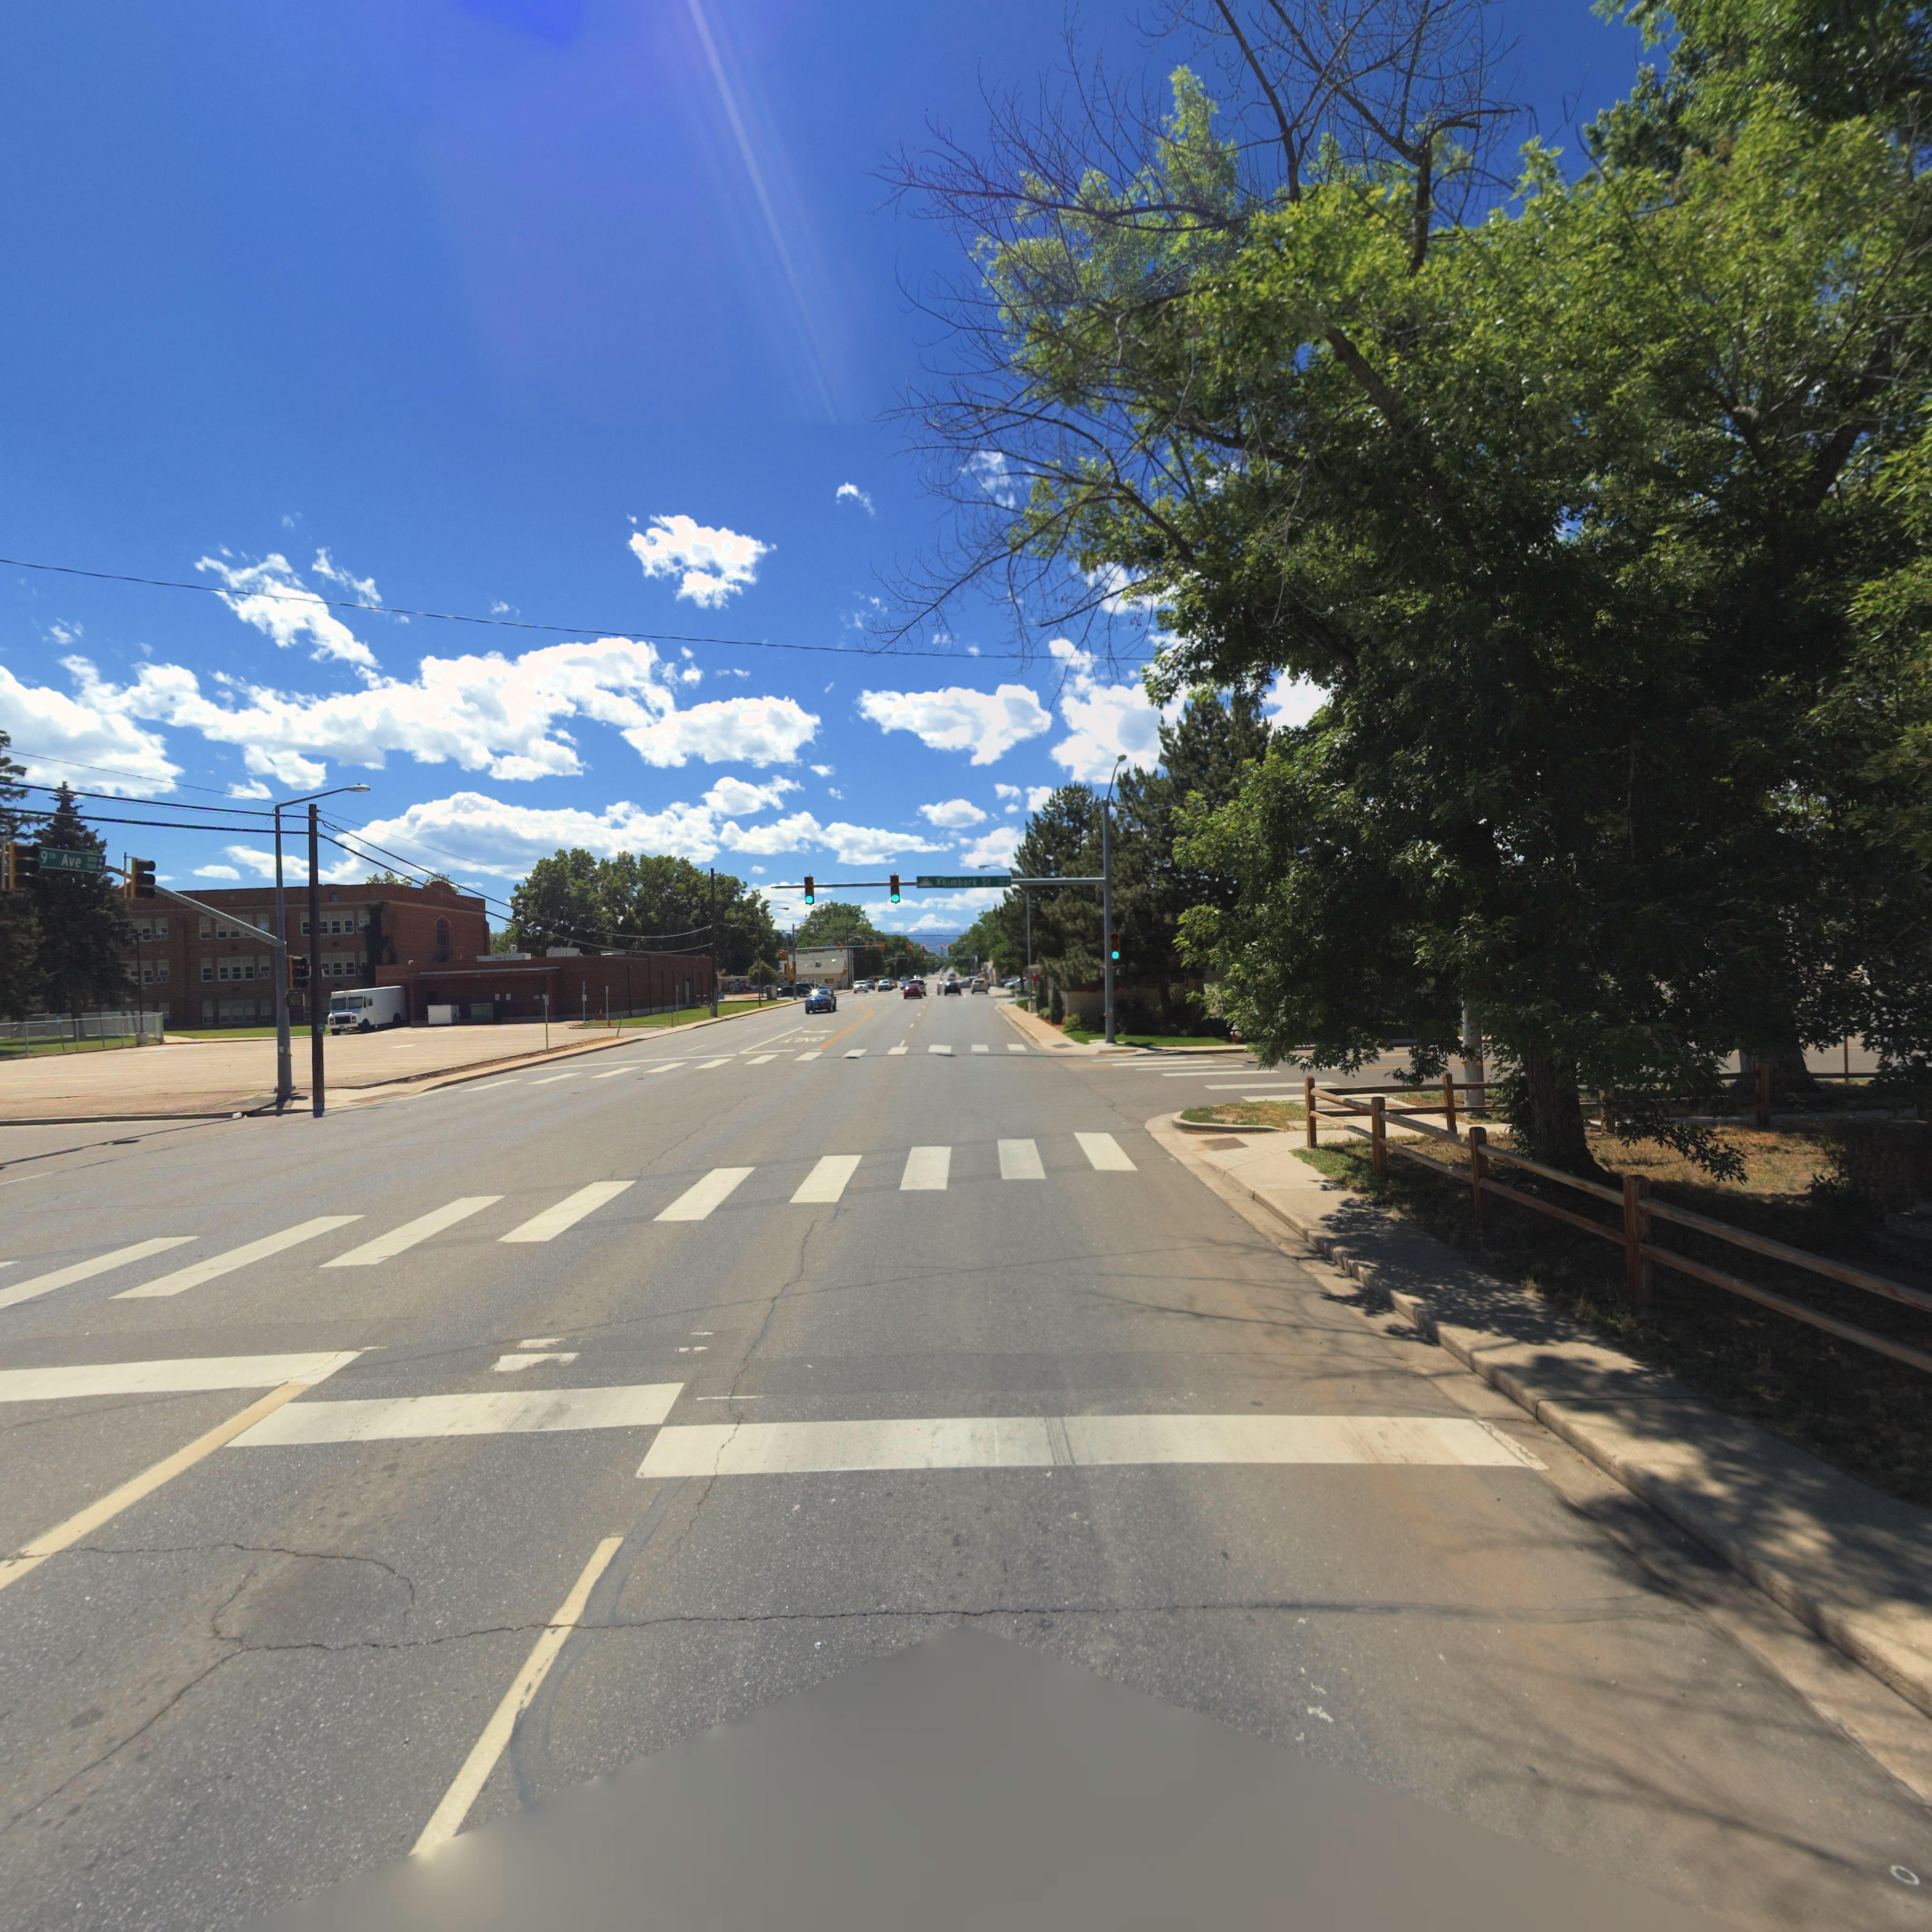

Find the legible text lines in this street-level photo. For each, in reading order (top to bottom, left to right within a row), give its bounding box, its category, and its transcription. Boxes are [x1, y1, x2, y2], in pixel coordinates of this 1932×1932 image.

[39, 850, 81, 869] StreetName: 9th Ave
[86, 862, 104, 870] StreetNumberRange: 500->
[936, 877, 991, 887] StreetName: KKimbark St